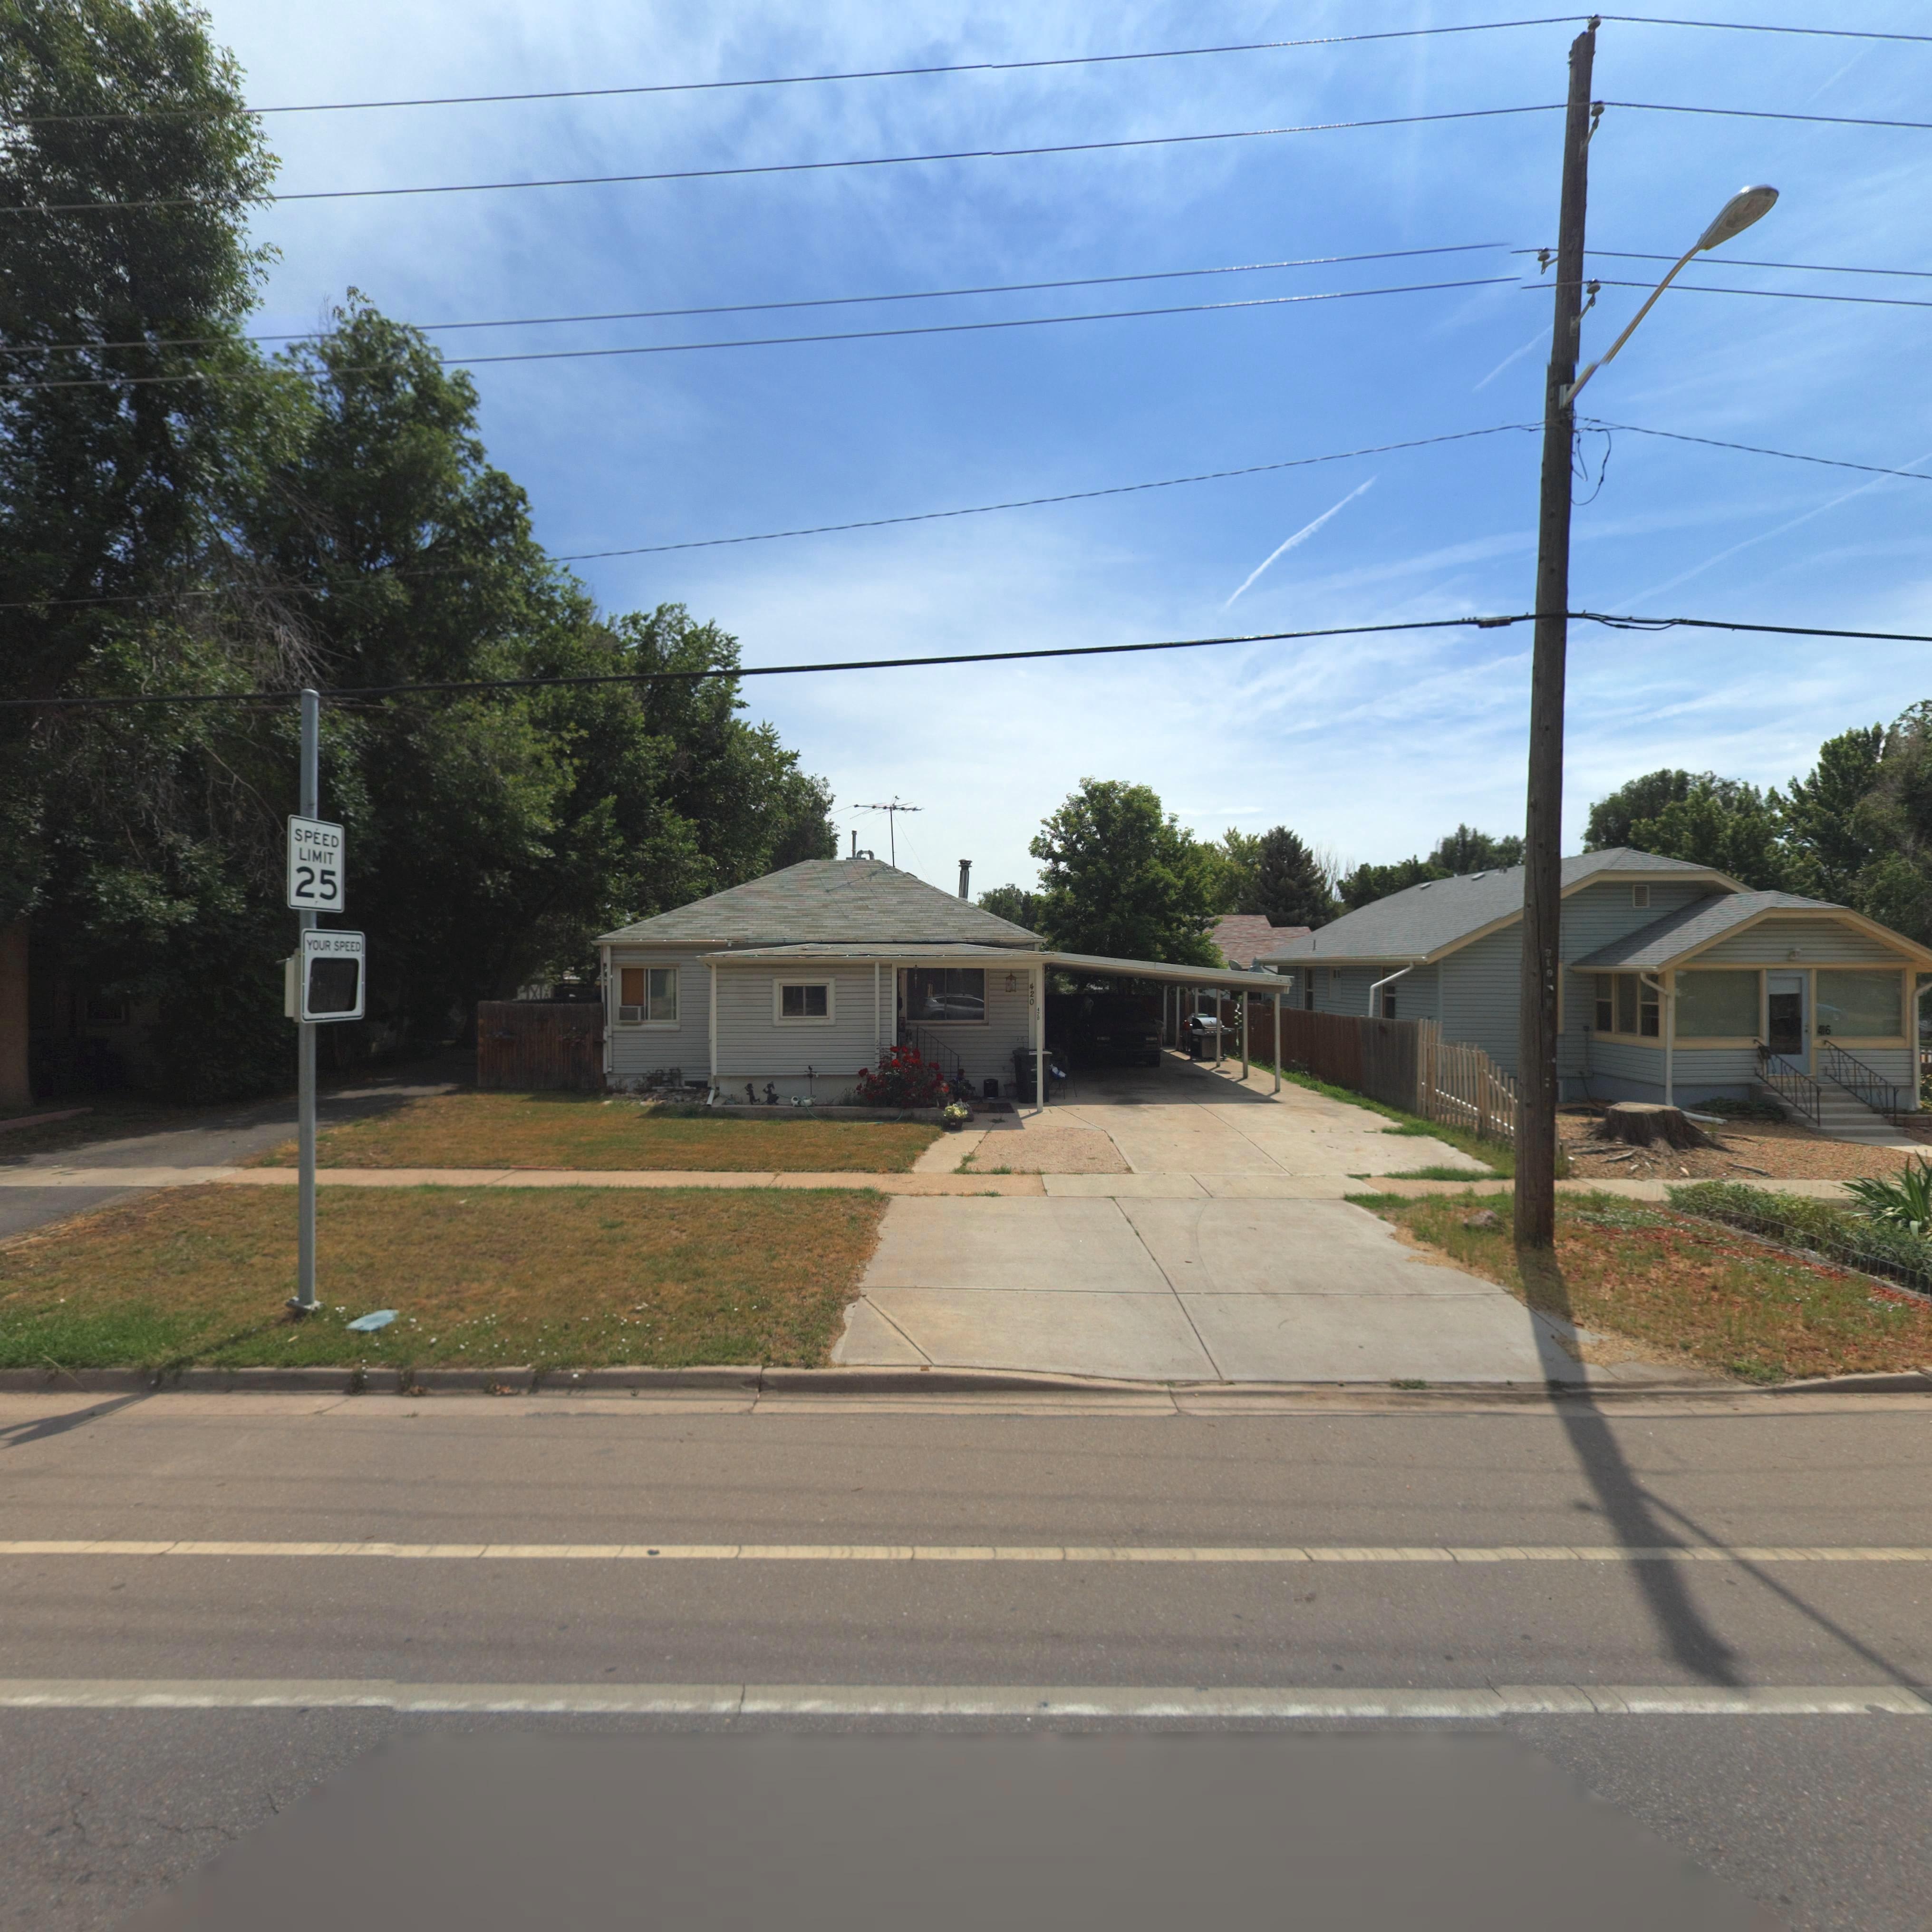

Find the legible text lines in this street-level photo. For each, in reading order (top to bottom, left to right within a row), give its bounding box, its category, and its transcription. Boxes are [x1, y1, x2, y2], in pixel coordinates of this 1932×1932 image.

[1029, 982, 1034, 1006] StreetNumber: 420
[1035, 1006, 1040, 1021] StreetNumber: 420
[1816, 1024, 1831, 1035] StreetNumber: 416